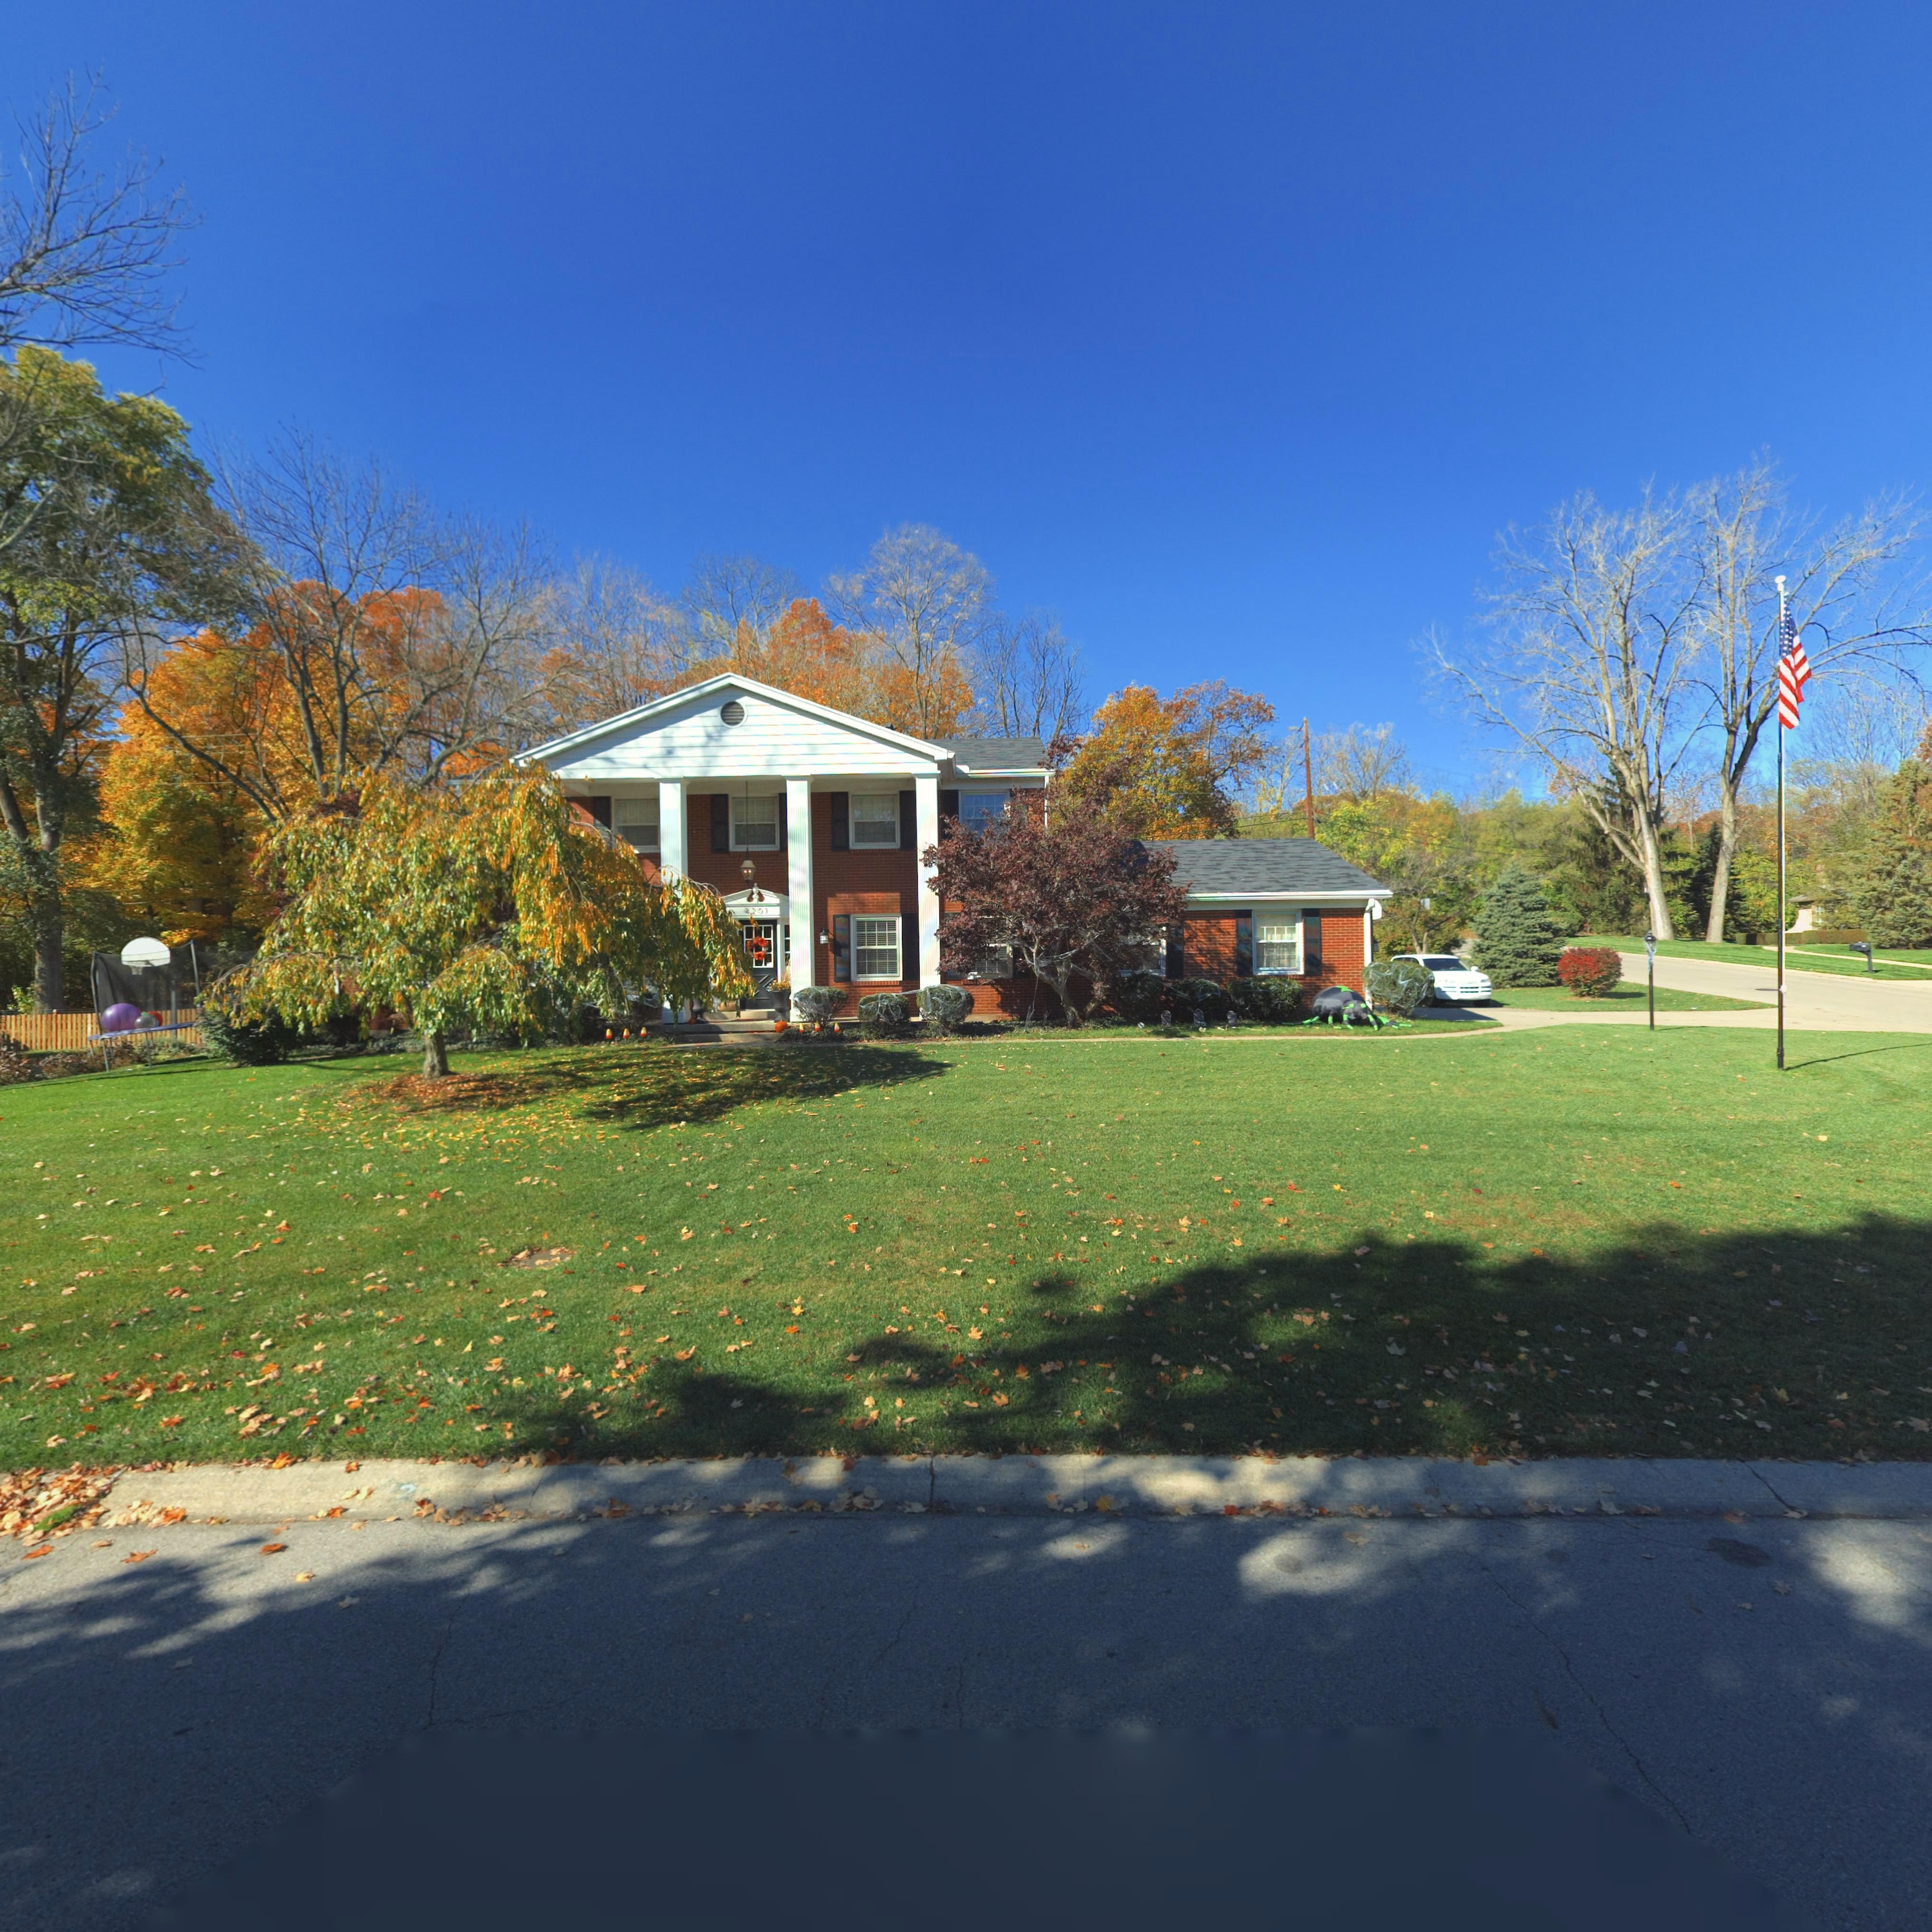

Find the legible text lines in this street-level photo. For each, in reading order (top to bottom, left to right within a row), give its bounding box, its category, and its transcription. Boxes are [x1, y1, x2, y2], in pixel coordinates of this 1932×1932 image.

[744, 907, 769, 916] StreetNumber: 4201